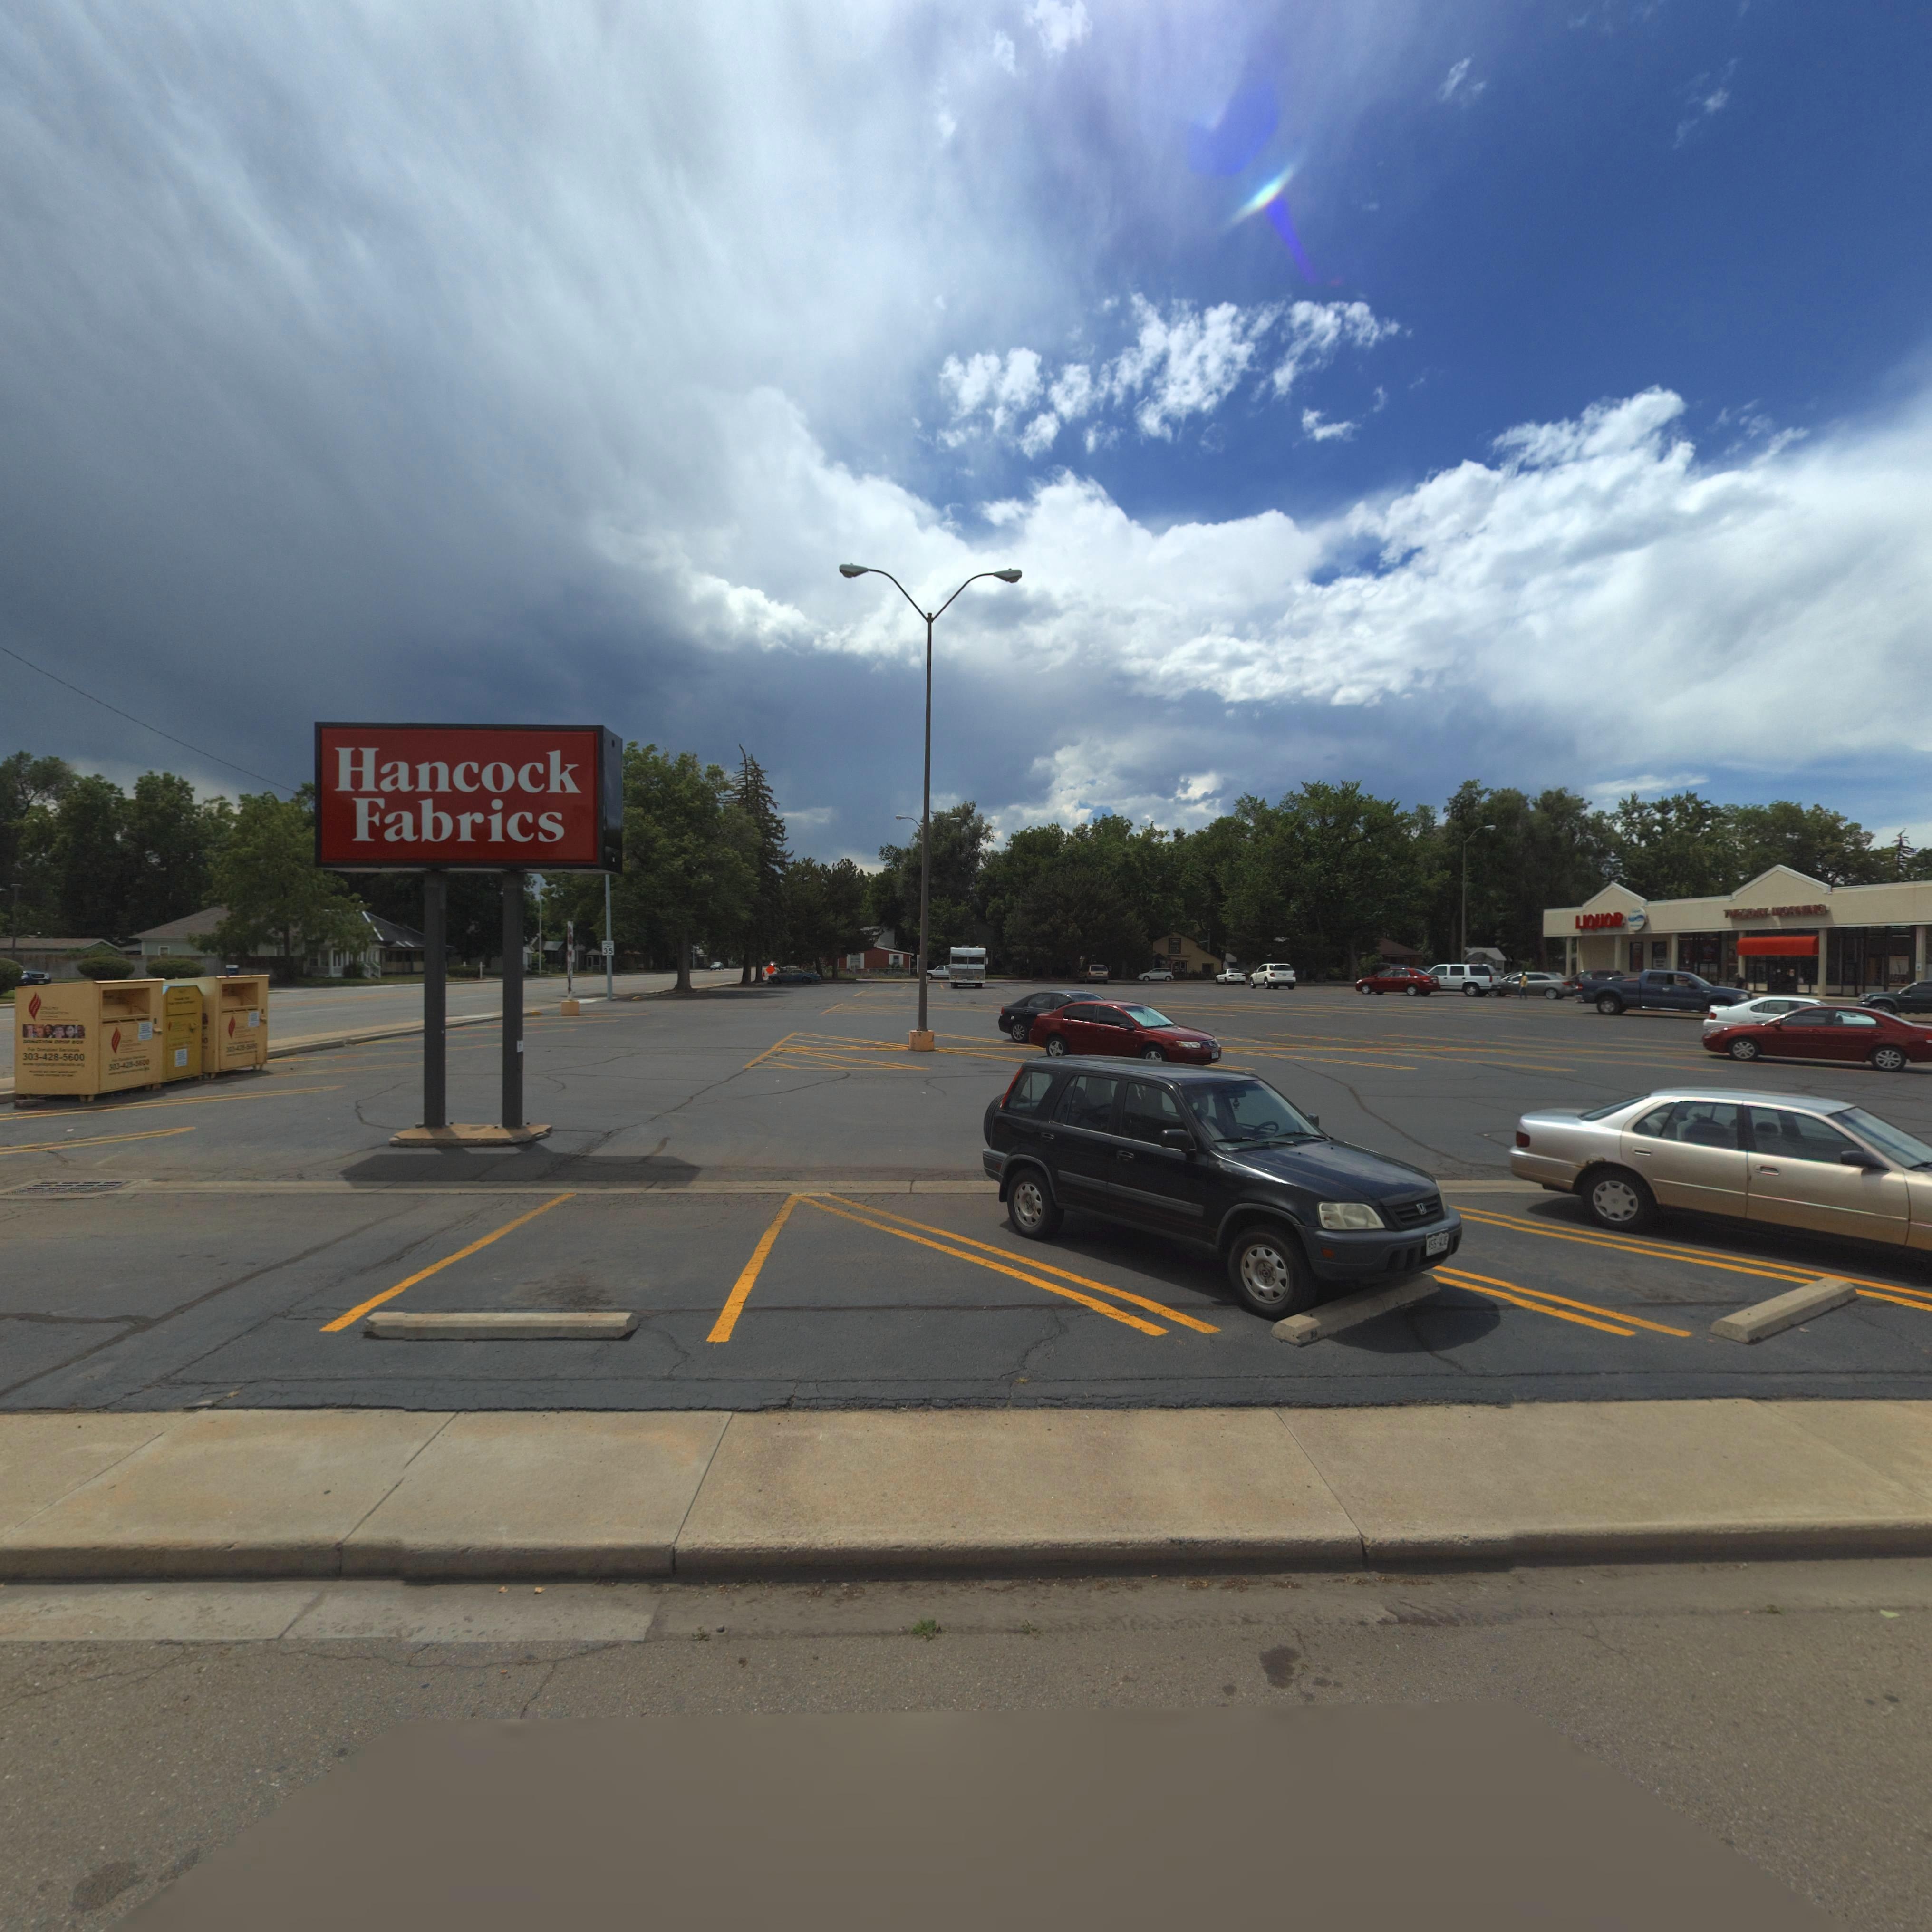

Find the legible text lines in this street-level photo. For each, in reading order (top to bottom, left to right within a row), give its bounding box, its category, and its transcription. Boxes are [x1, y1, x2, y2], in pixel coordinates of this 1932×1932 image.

[331, 746, 583, 795] BusinessName: Hancock
[350, 795, 566, 843] BusinessName: Fabrics
[1722, 903, 1826, 919] BusinessName: TU**D** M******